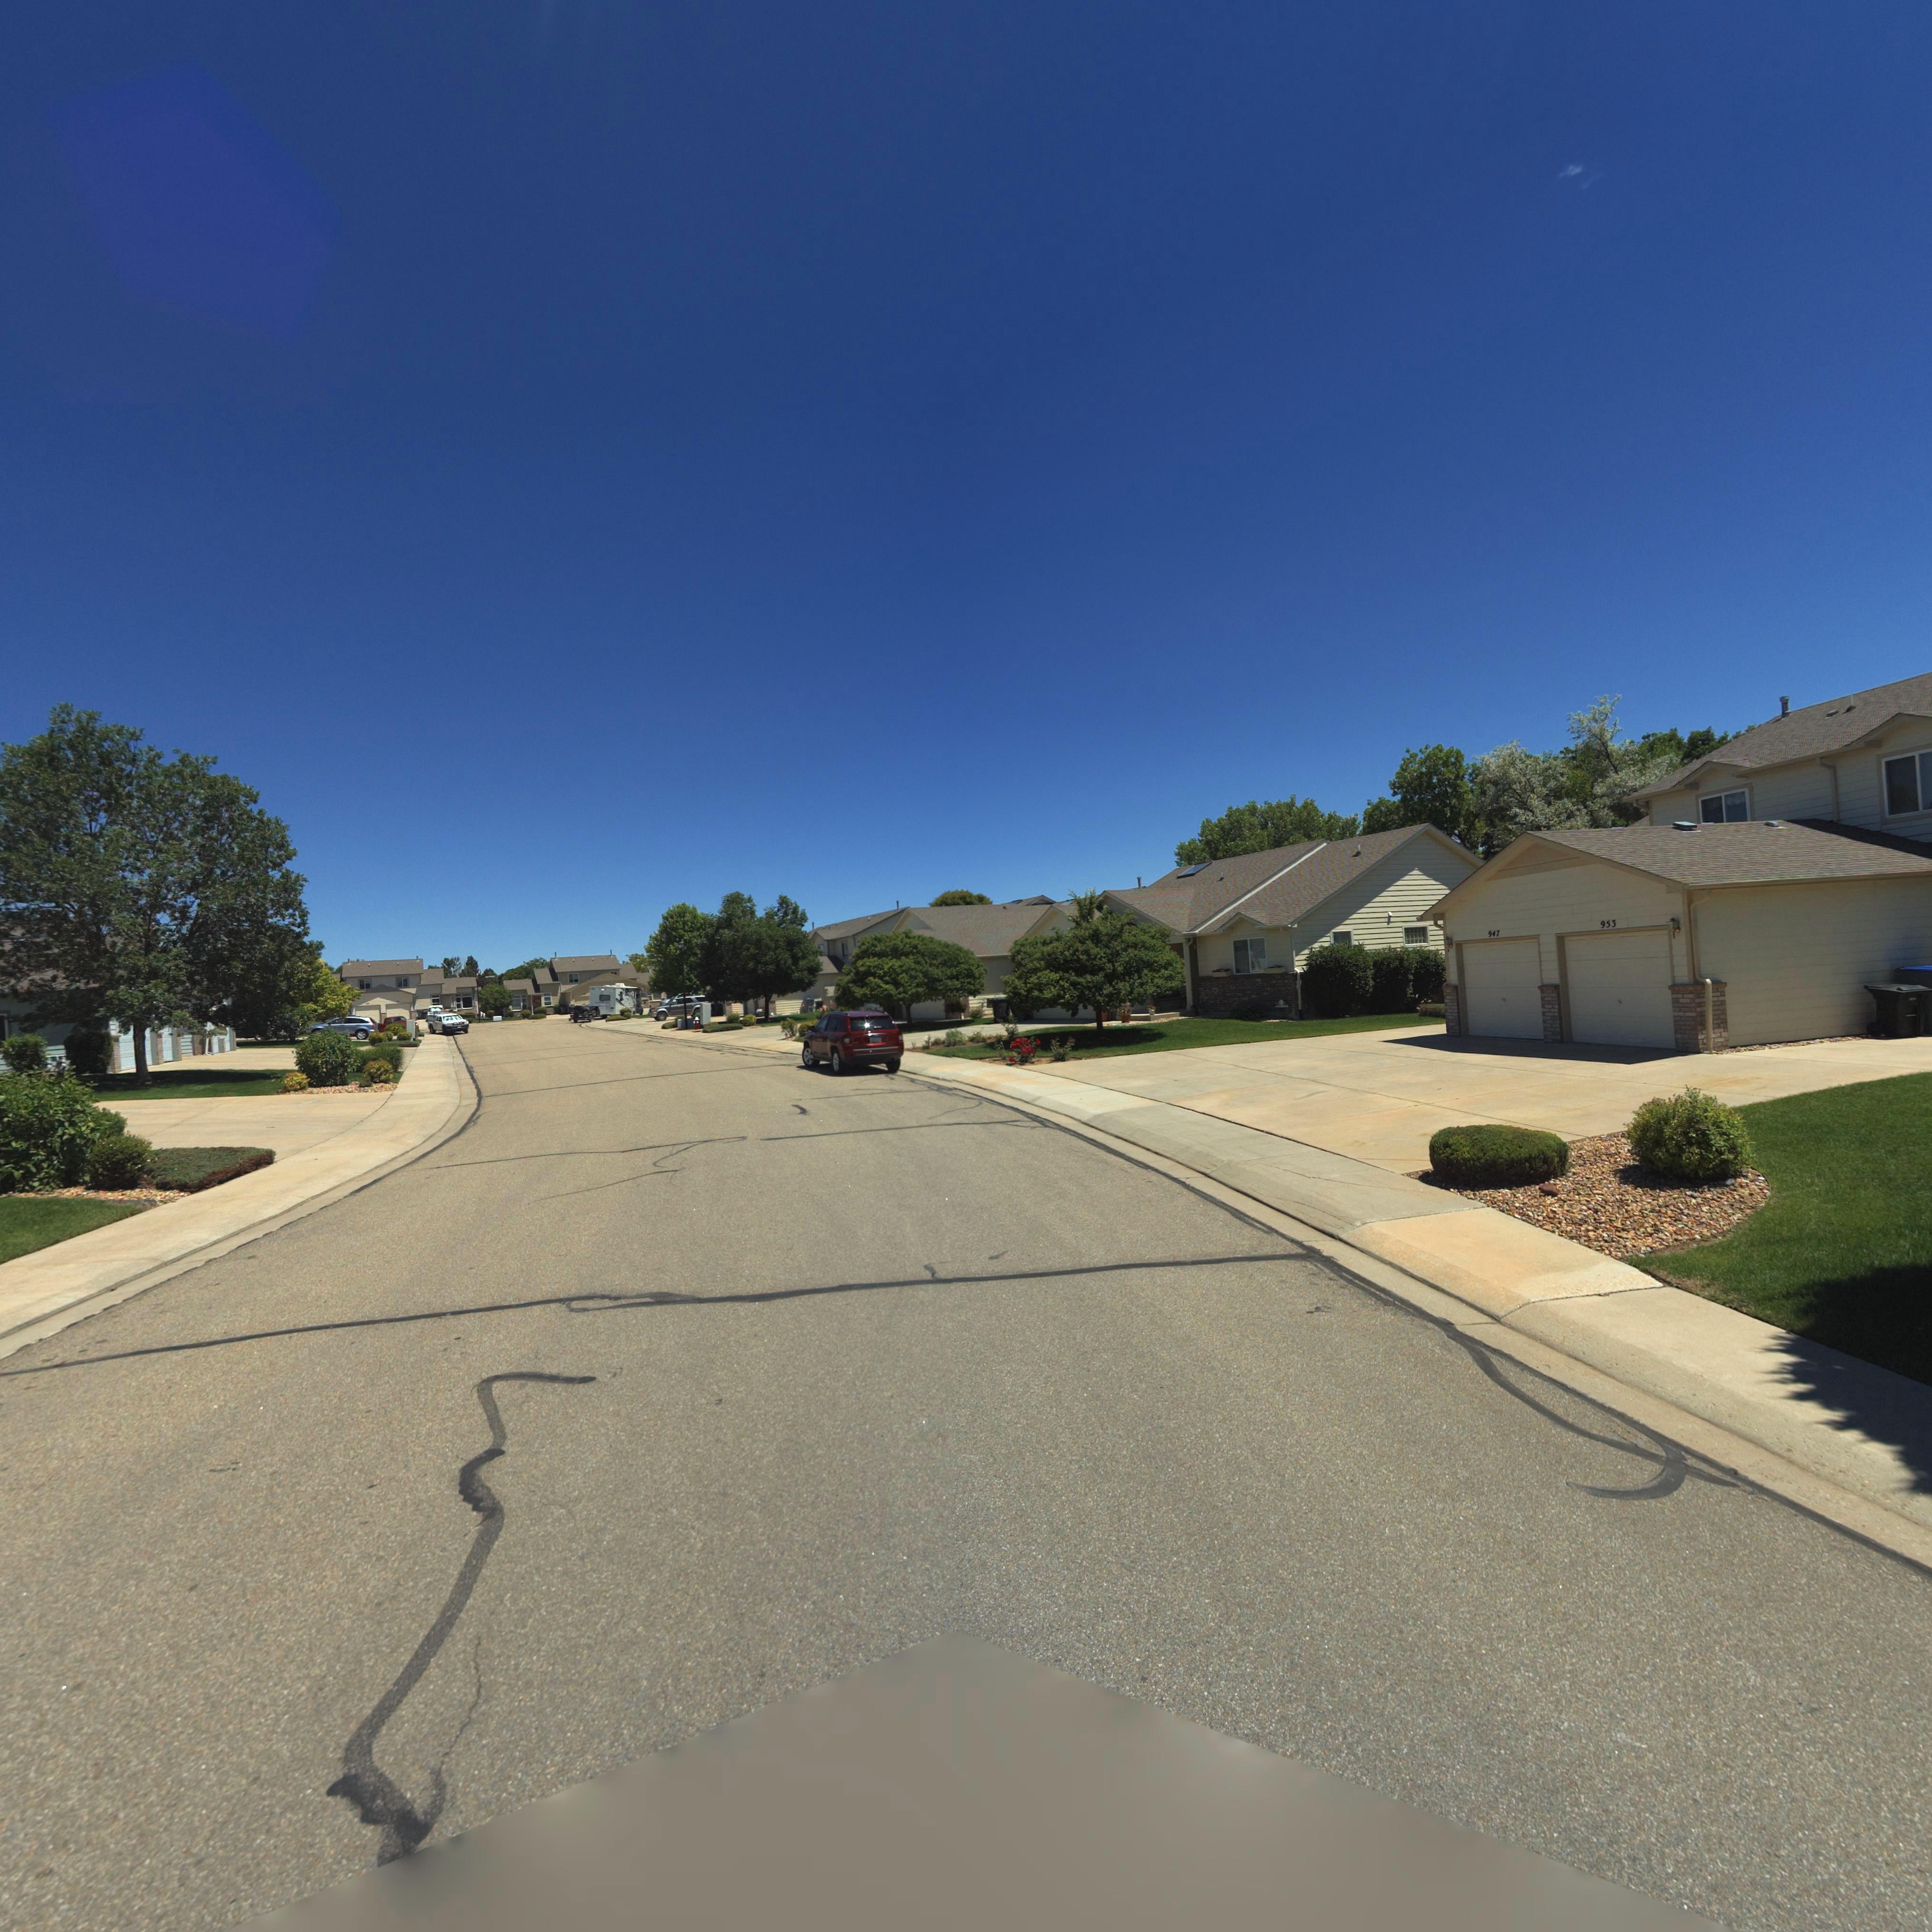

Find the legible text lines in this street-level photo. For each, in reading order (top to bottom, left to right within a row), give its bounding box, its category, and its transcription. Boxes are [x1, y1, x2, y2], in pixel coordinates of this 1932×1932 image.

[1600, 919, 1616, 928] StreetNumber: 953
[1487, 929, 1500, 937] StreetNumber: 947